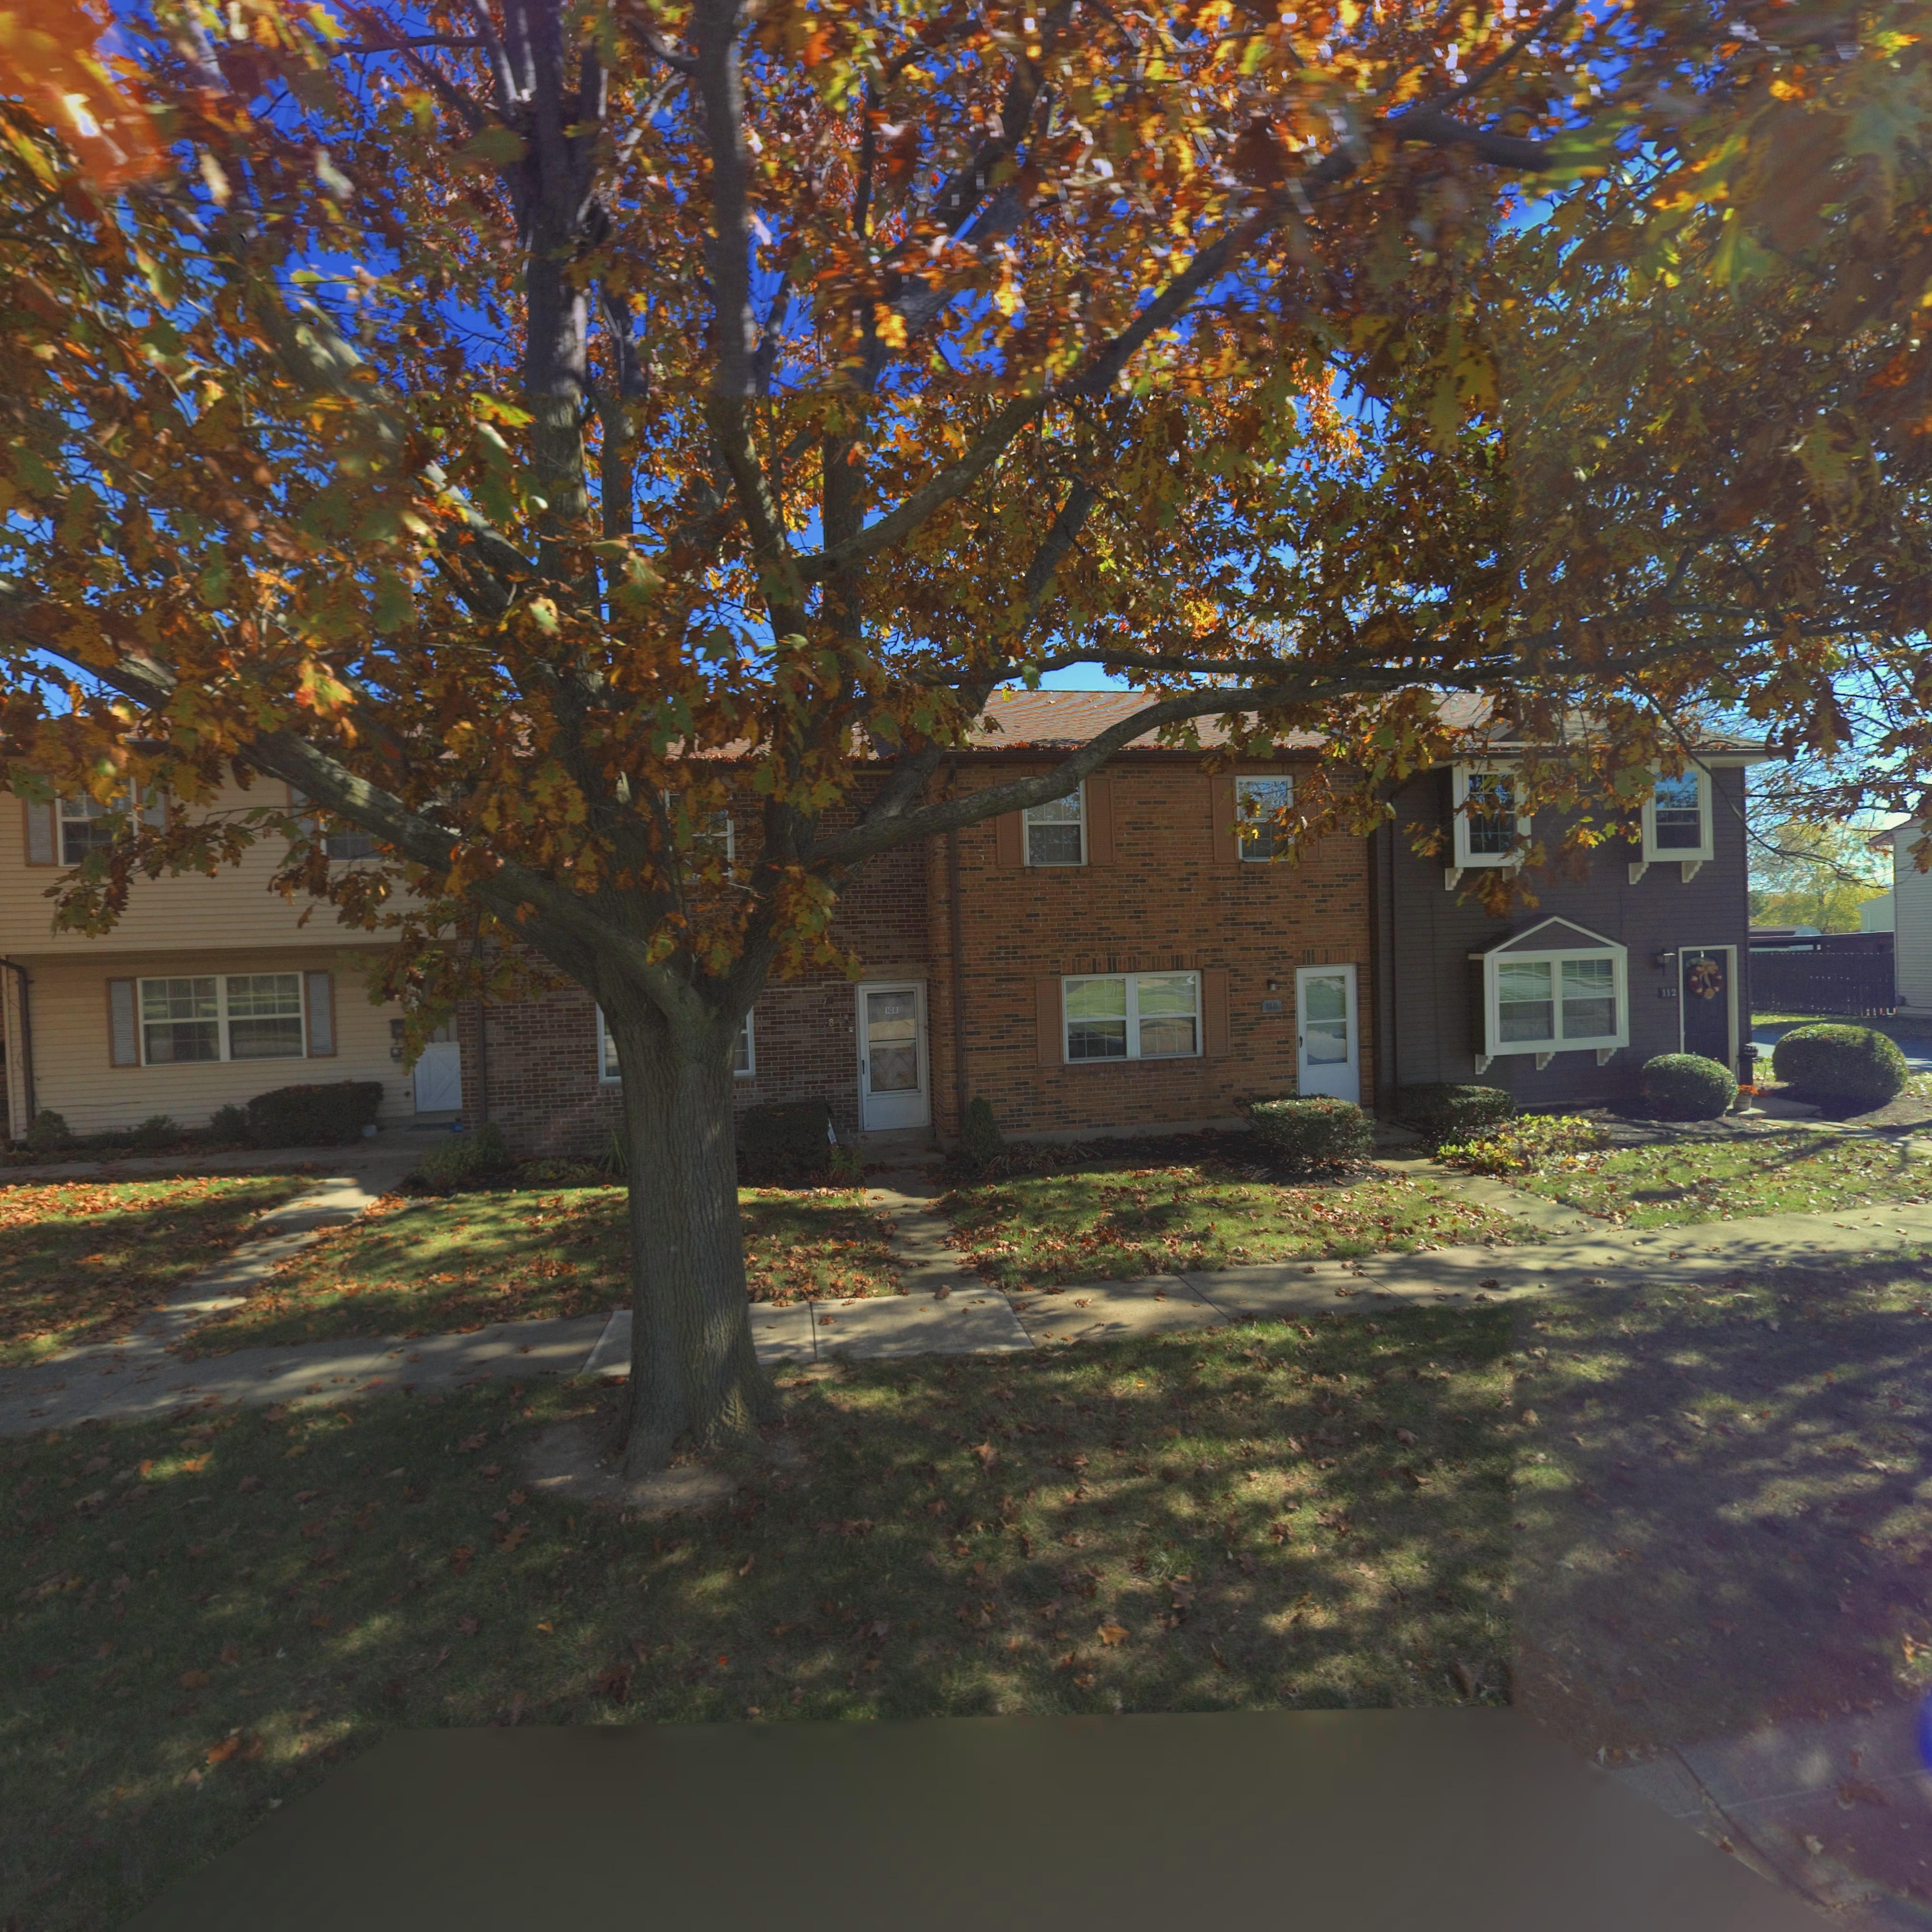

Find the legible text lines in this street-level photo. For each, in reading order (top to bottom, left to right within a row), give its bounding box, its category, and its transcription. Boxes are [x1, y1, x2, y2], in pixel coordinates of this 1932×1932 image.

[1661, 987, 1677, 998] StreetNumber: 112
[886, 1006, 898, 1014] StreetNumber: 108
[1265, 1001, 1278, 1011] StreetNumber: 1*0